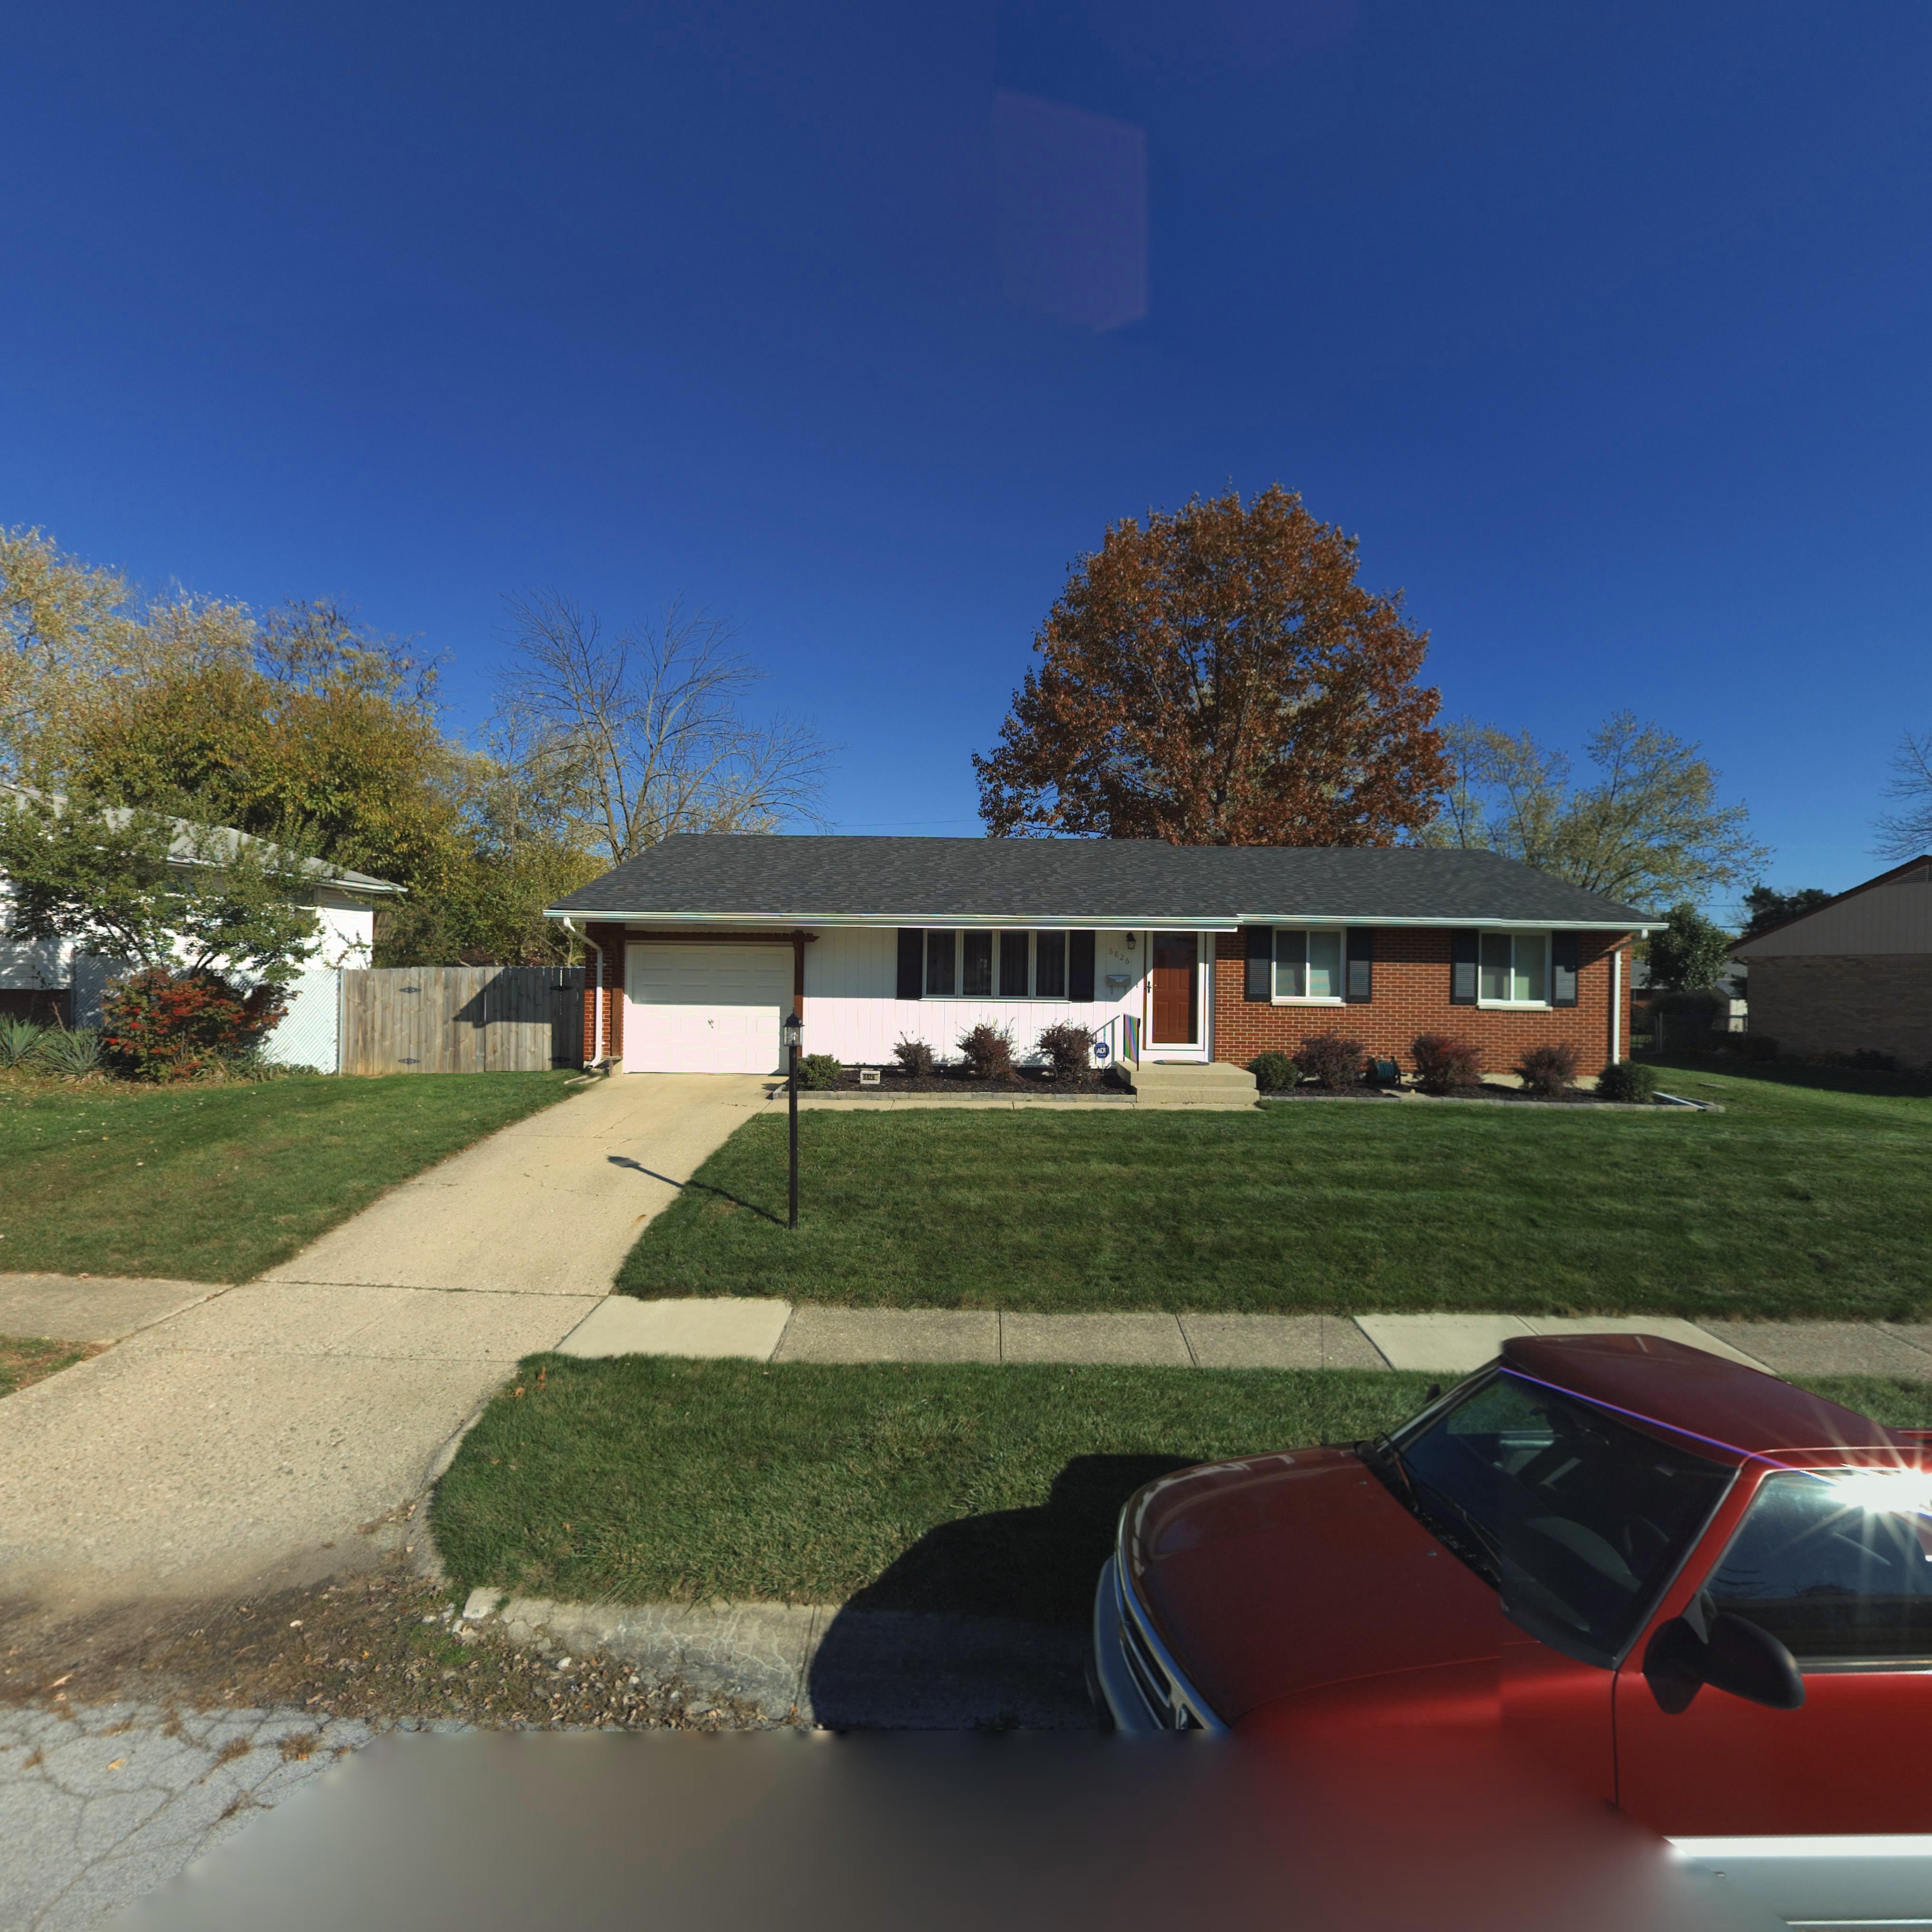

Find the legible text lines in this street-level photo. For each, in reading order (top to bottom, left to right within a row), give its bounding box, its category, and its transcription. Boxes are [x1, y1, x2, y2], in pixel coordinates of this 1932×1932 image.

[1108, 947, 1130, 965] StreetNumber: 6826
[863, 1074, 875, 1080] StreetNumber: 6826